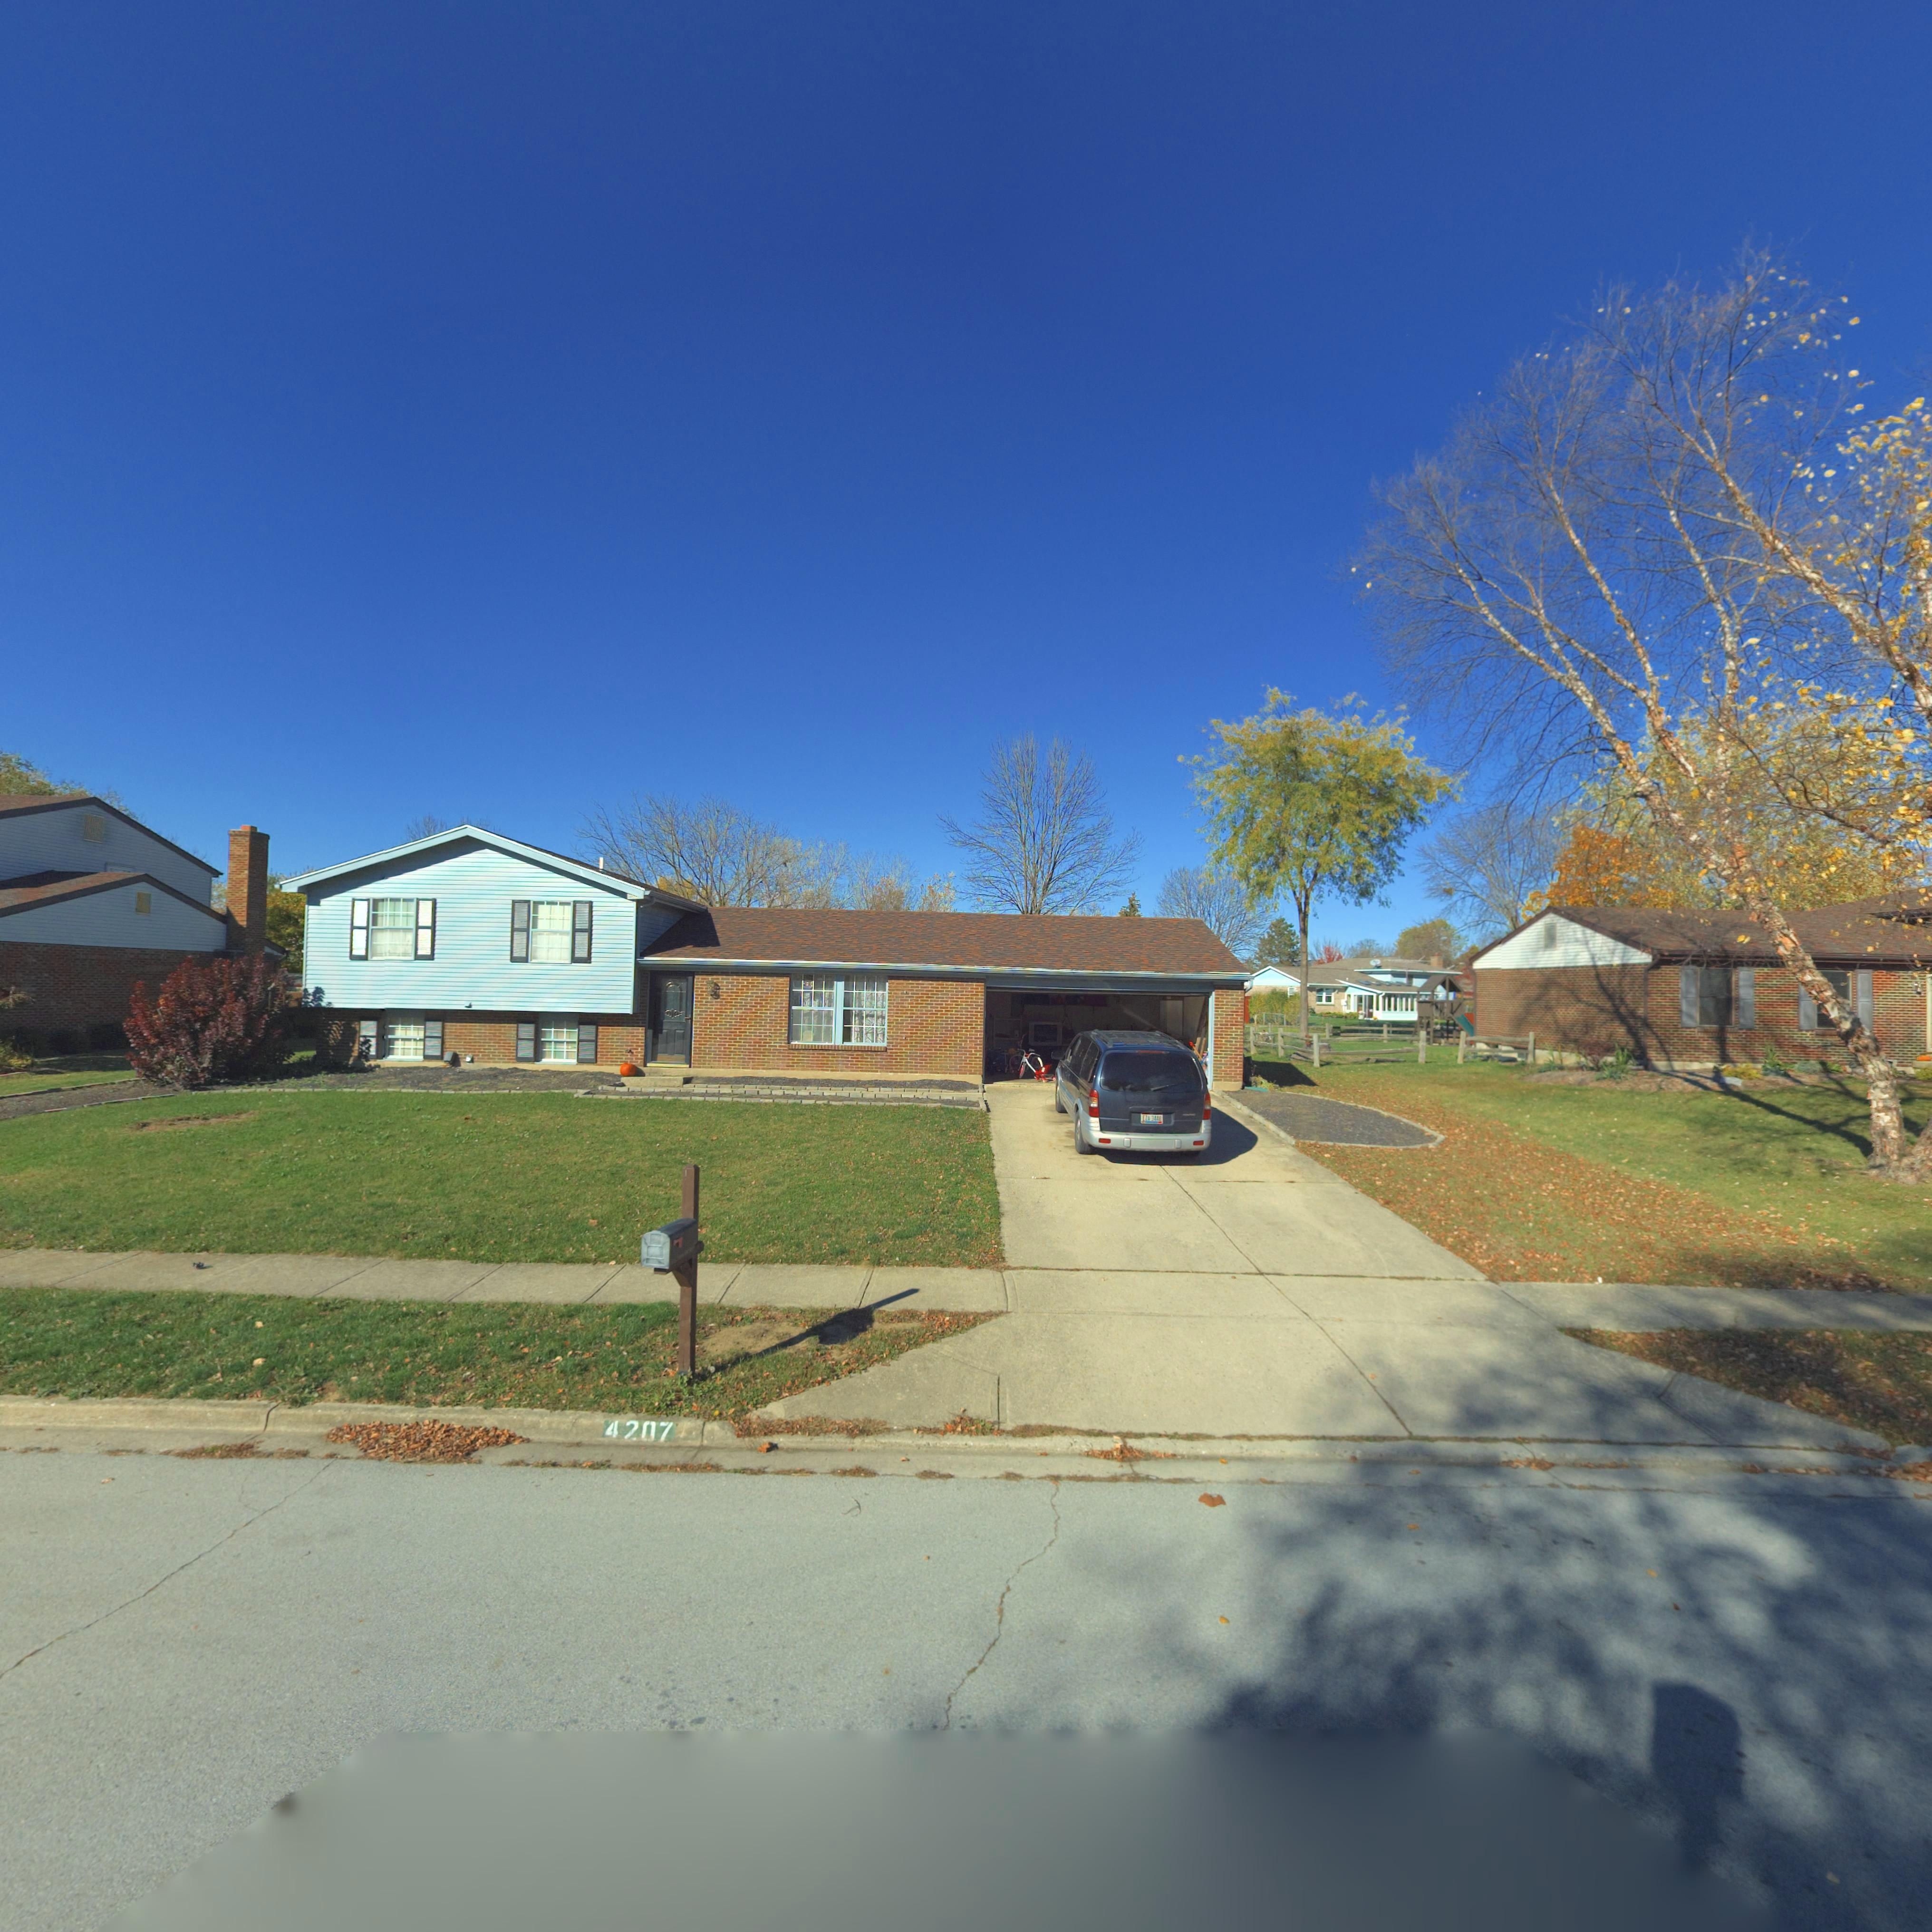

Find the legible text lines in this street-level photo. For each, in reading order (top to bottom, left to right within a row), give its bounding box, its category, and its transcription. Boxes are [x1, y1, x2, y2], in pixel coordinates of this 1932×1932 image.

[602, 1419, 675, 1443] StreetNumber: 4207